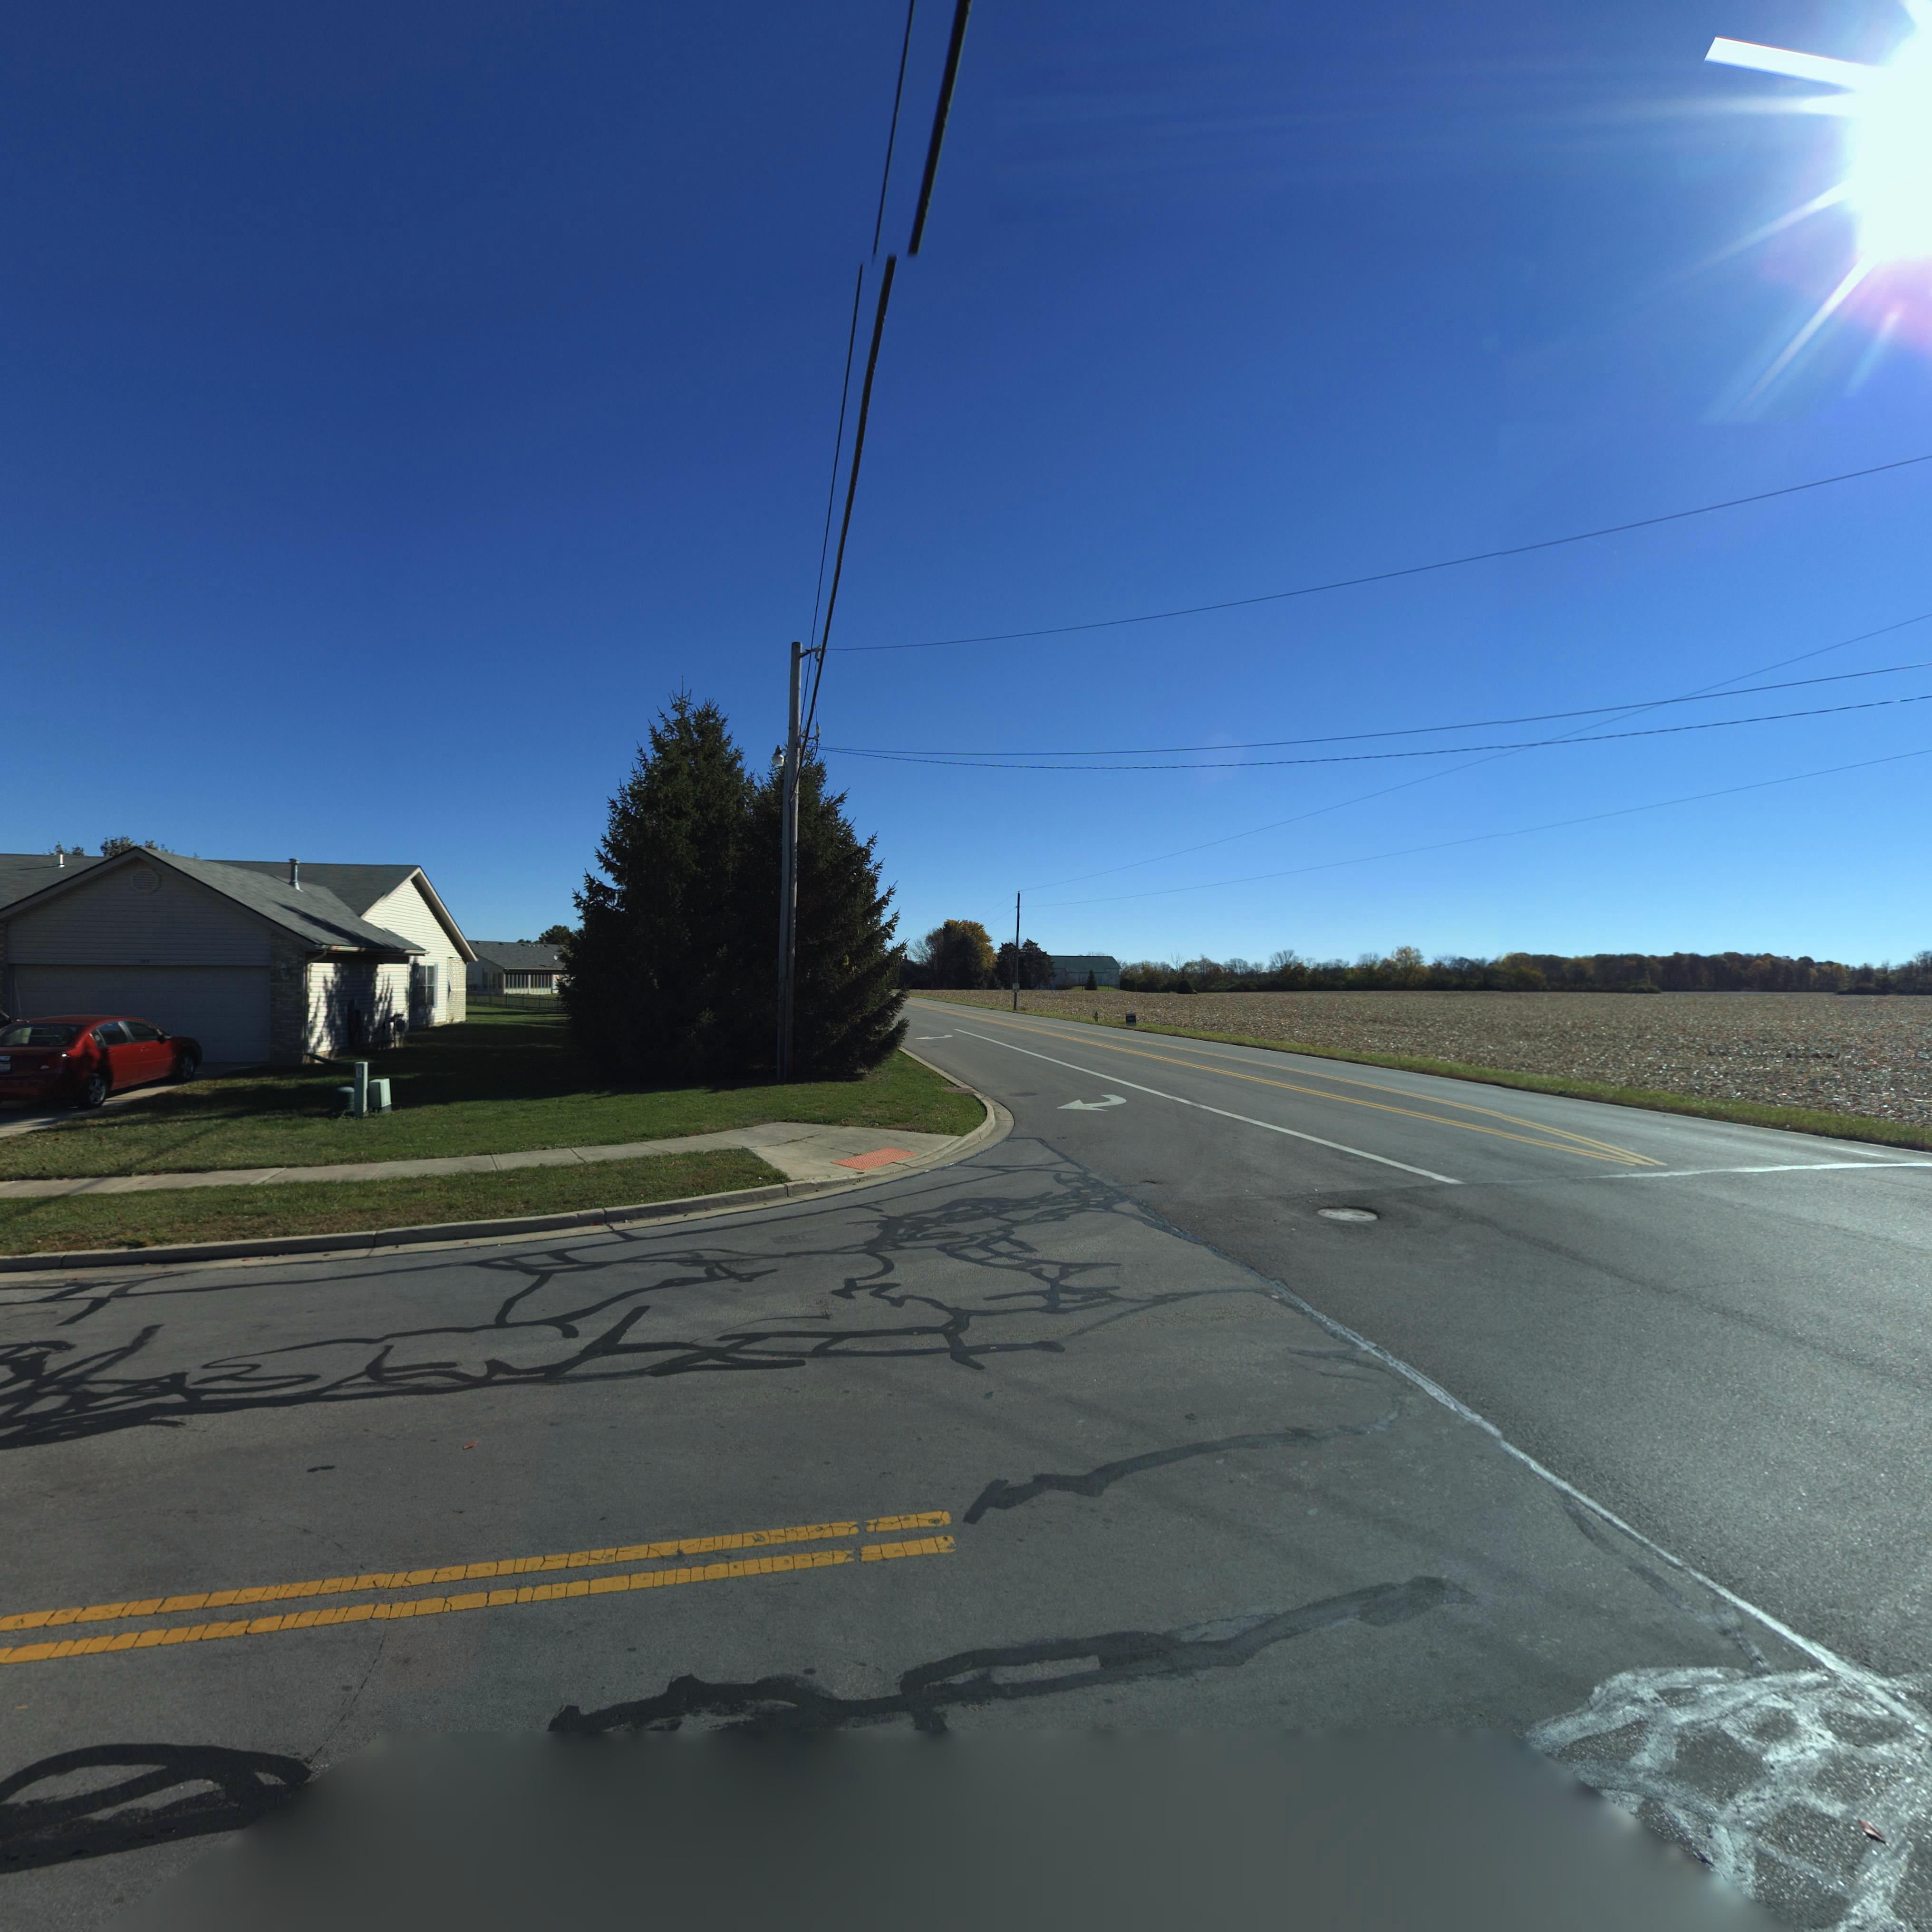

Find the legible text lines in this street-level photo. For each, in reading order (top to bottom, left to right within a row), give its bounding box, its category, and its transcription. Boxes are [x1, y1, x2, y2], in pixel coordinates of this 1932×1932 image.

[139, 959, 151, 964] StreetNumber: 155